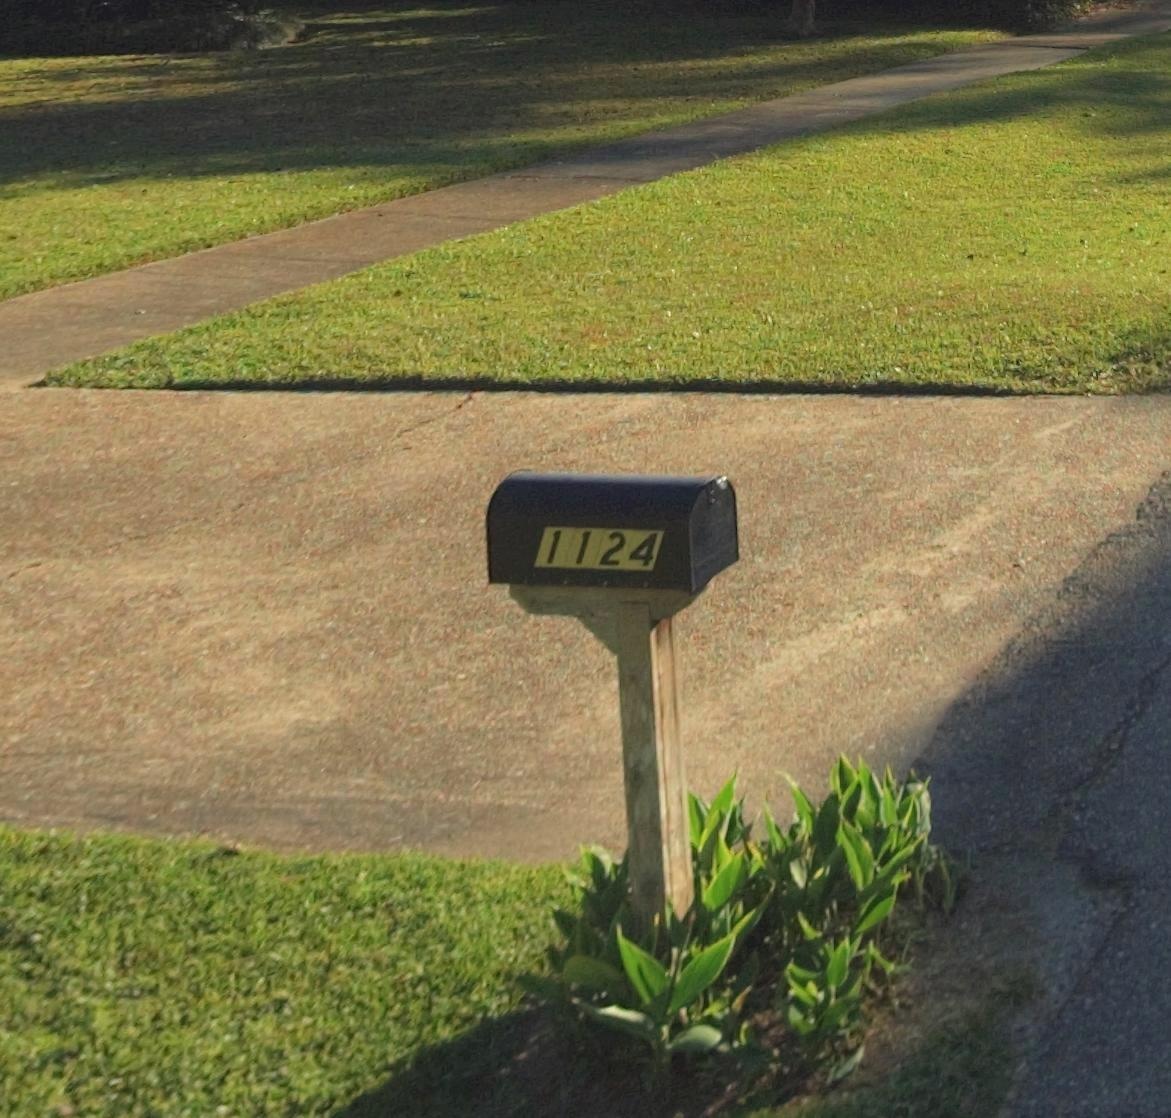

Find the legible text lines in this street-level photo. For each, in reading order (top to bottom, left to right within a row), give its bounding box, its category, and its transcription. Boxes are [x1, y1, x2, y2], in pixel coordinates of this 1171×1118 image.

[539, 527, 666, 570] StreetNumber: 1124